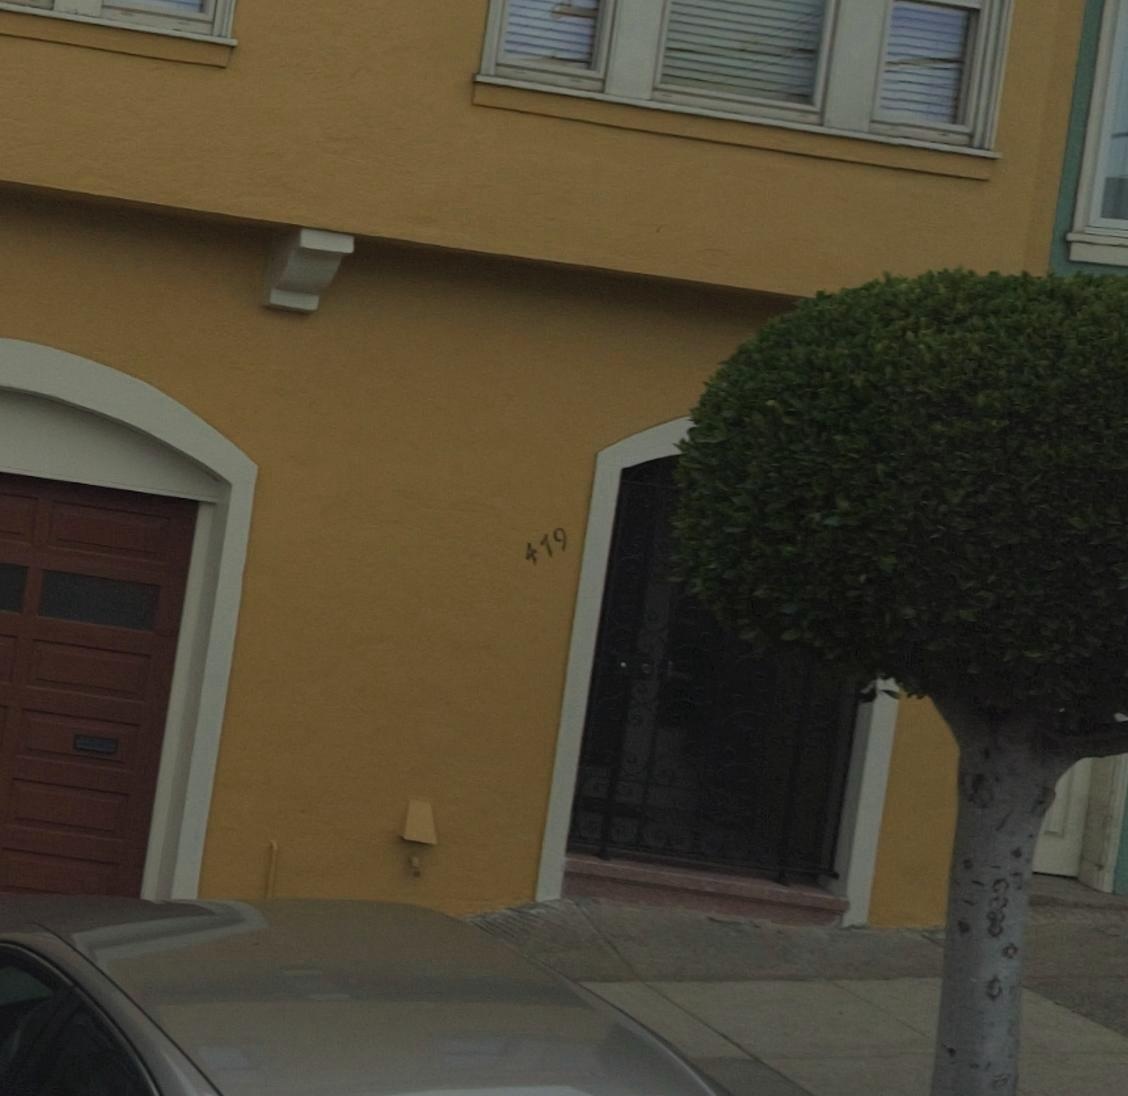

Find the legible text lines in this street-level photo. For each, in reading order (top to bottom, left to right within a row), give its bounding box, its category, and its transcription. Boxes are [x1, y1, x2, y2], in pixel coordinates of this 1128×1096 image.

[524, 524, 569, 569] StreetNumber: 479